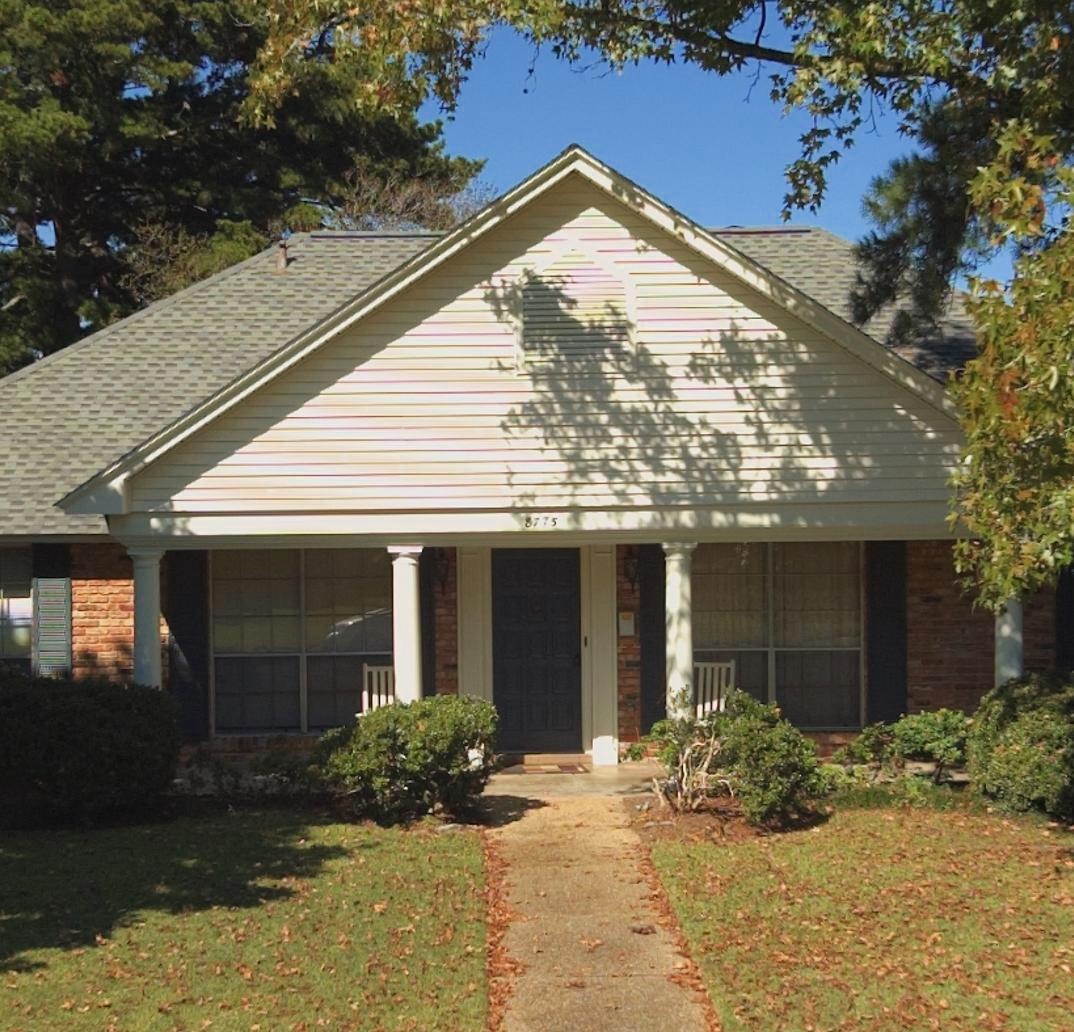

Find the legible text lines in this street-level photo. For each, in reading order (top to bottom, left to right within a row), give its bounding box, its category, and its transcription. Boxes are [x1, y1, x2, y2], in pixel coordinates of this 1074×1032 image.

[523, 515, 559, 529] StreetNumber: 8775